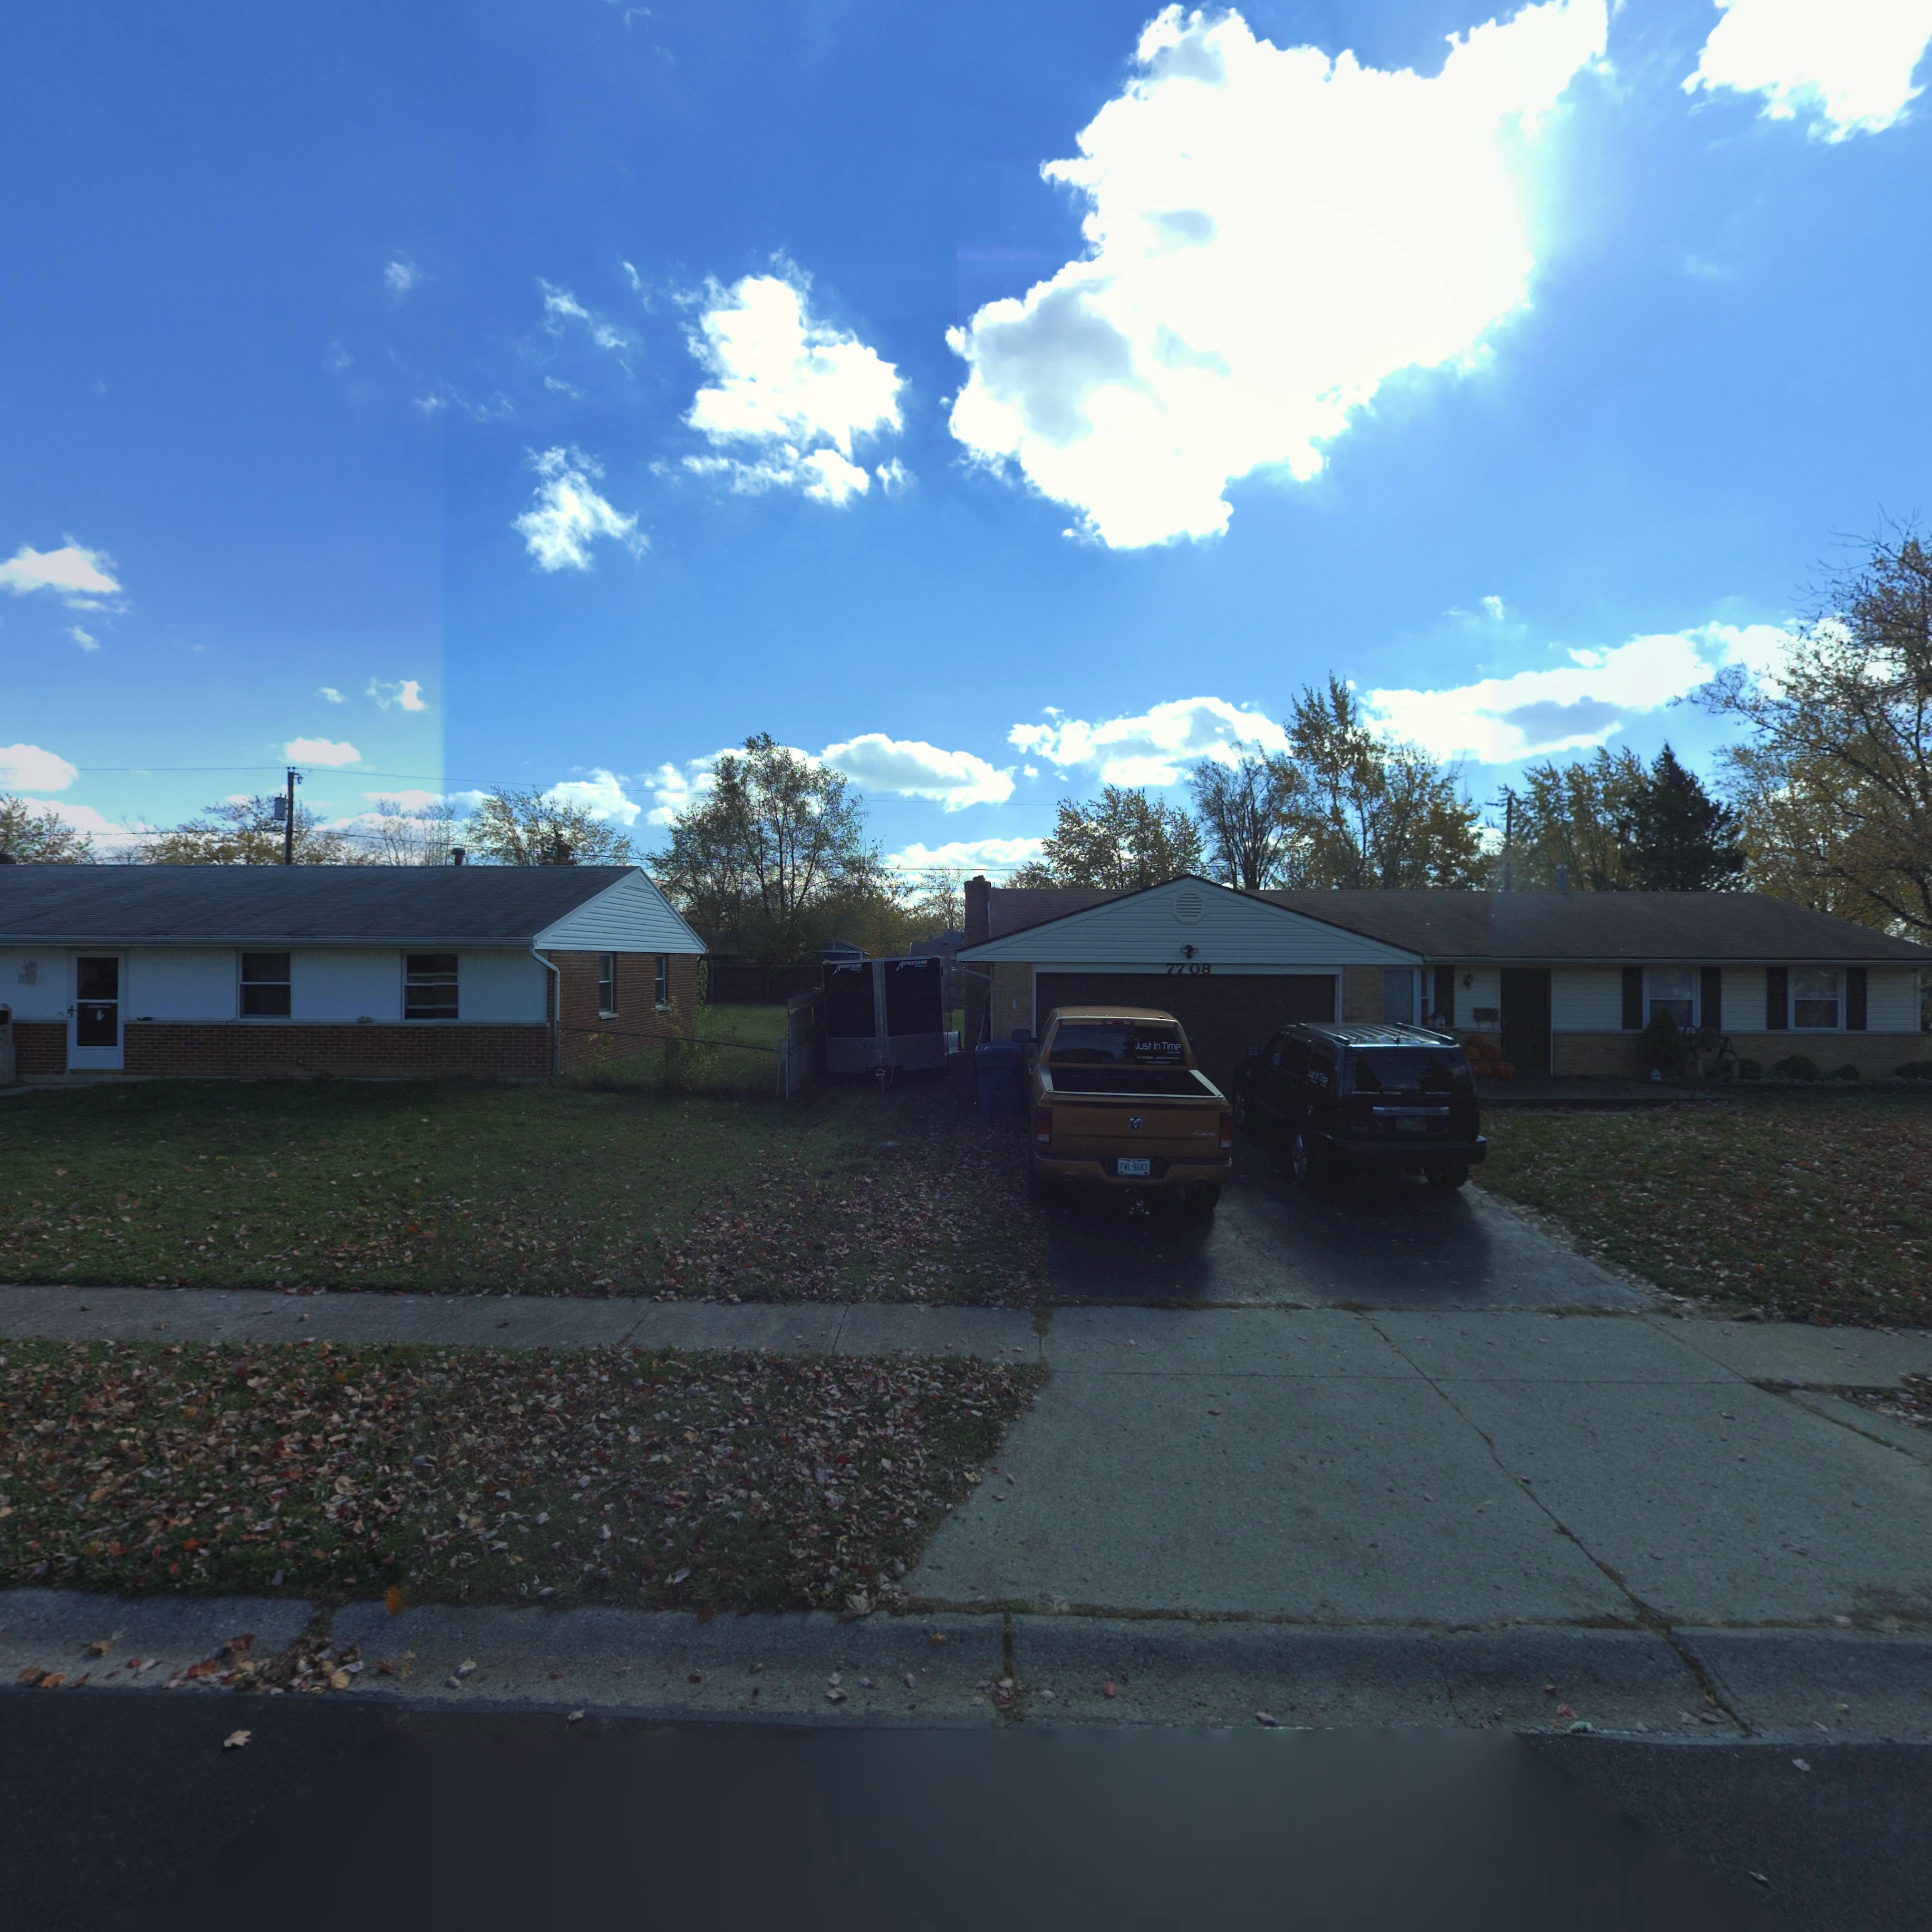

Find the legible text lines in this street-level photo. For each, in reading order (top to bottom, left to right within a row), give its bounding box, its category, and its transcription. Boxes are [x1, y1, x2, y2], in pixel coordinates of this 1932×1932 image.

[1165, 963, 1211, 975] StreetNumber: 7708